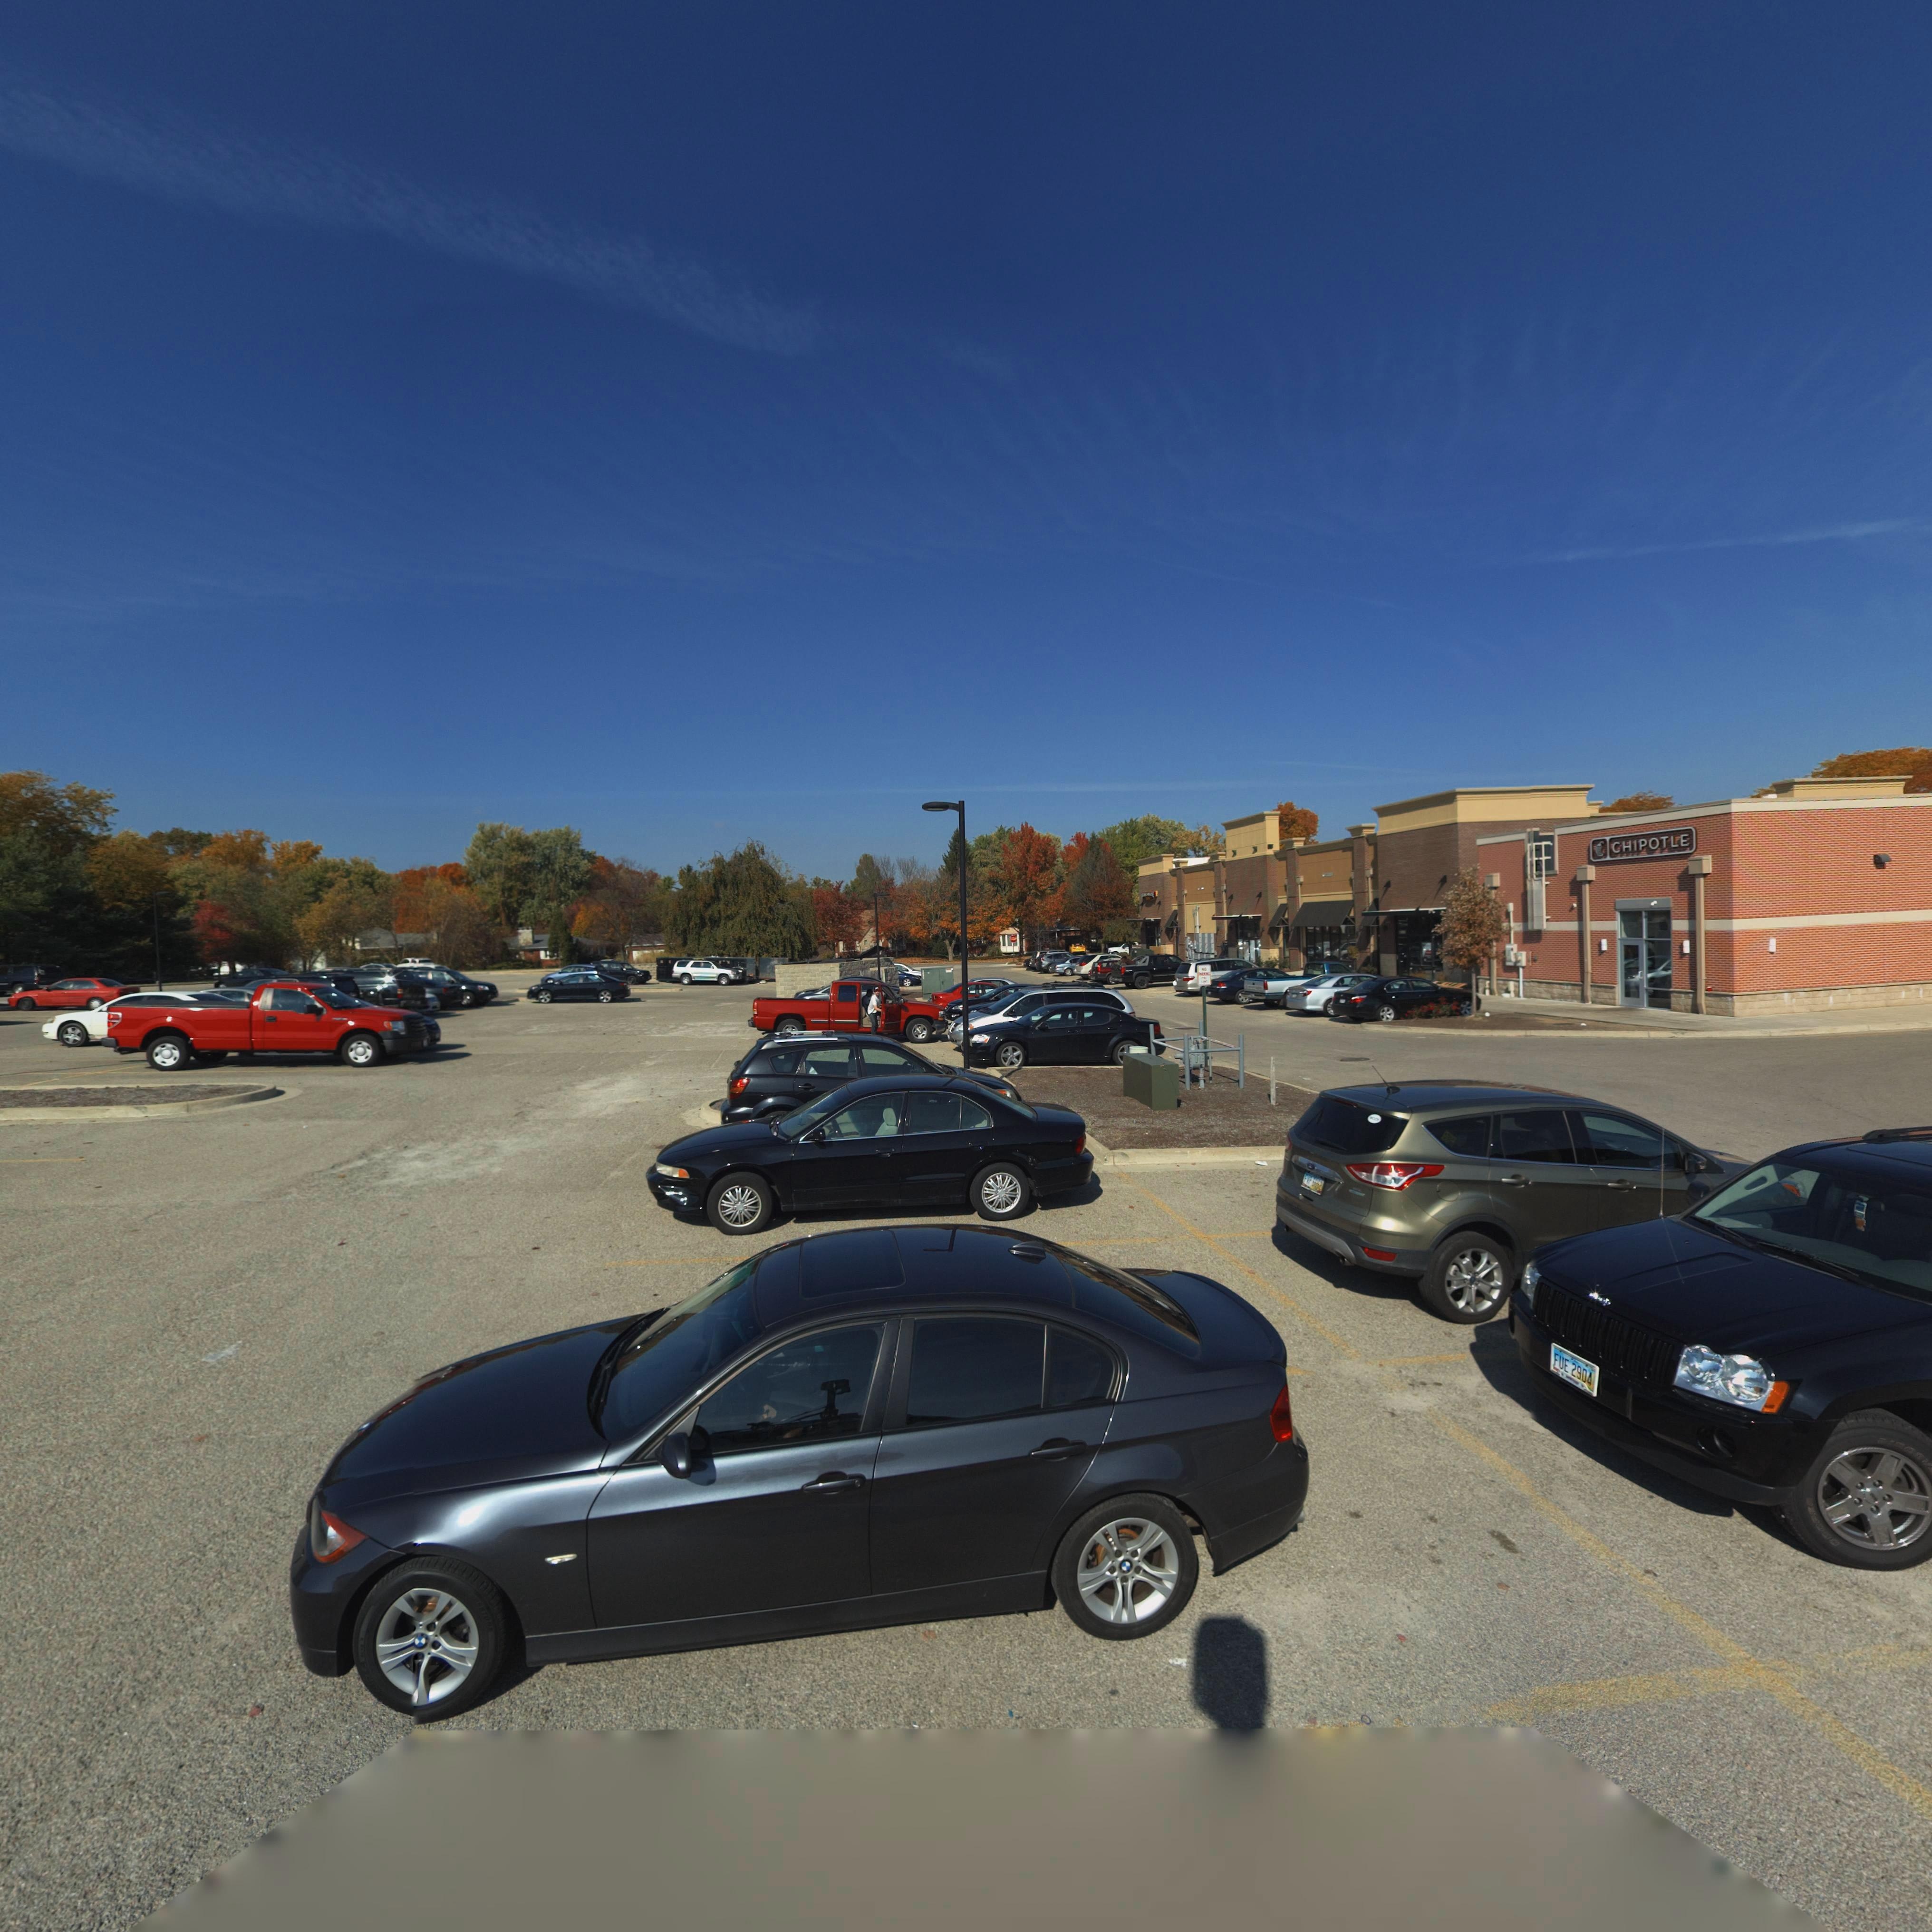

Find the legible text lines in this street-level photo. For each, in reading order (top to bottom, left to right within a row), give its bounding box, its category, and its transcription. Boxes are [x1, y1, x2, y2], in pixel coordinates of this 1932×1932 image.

[1611, 833, 1690, 854] BusinessName: CHIPOTLE